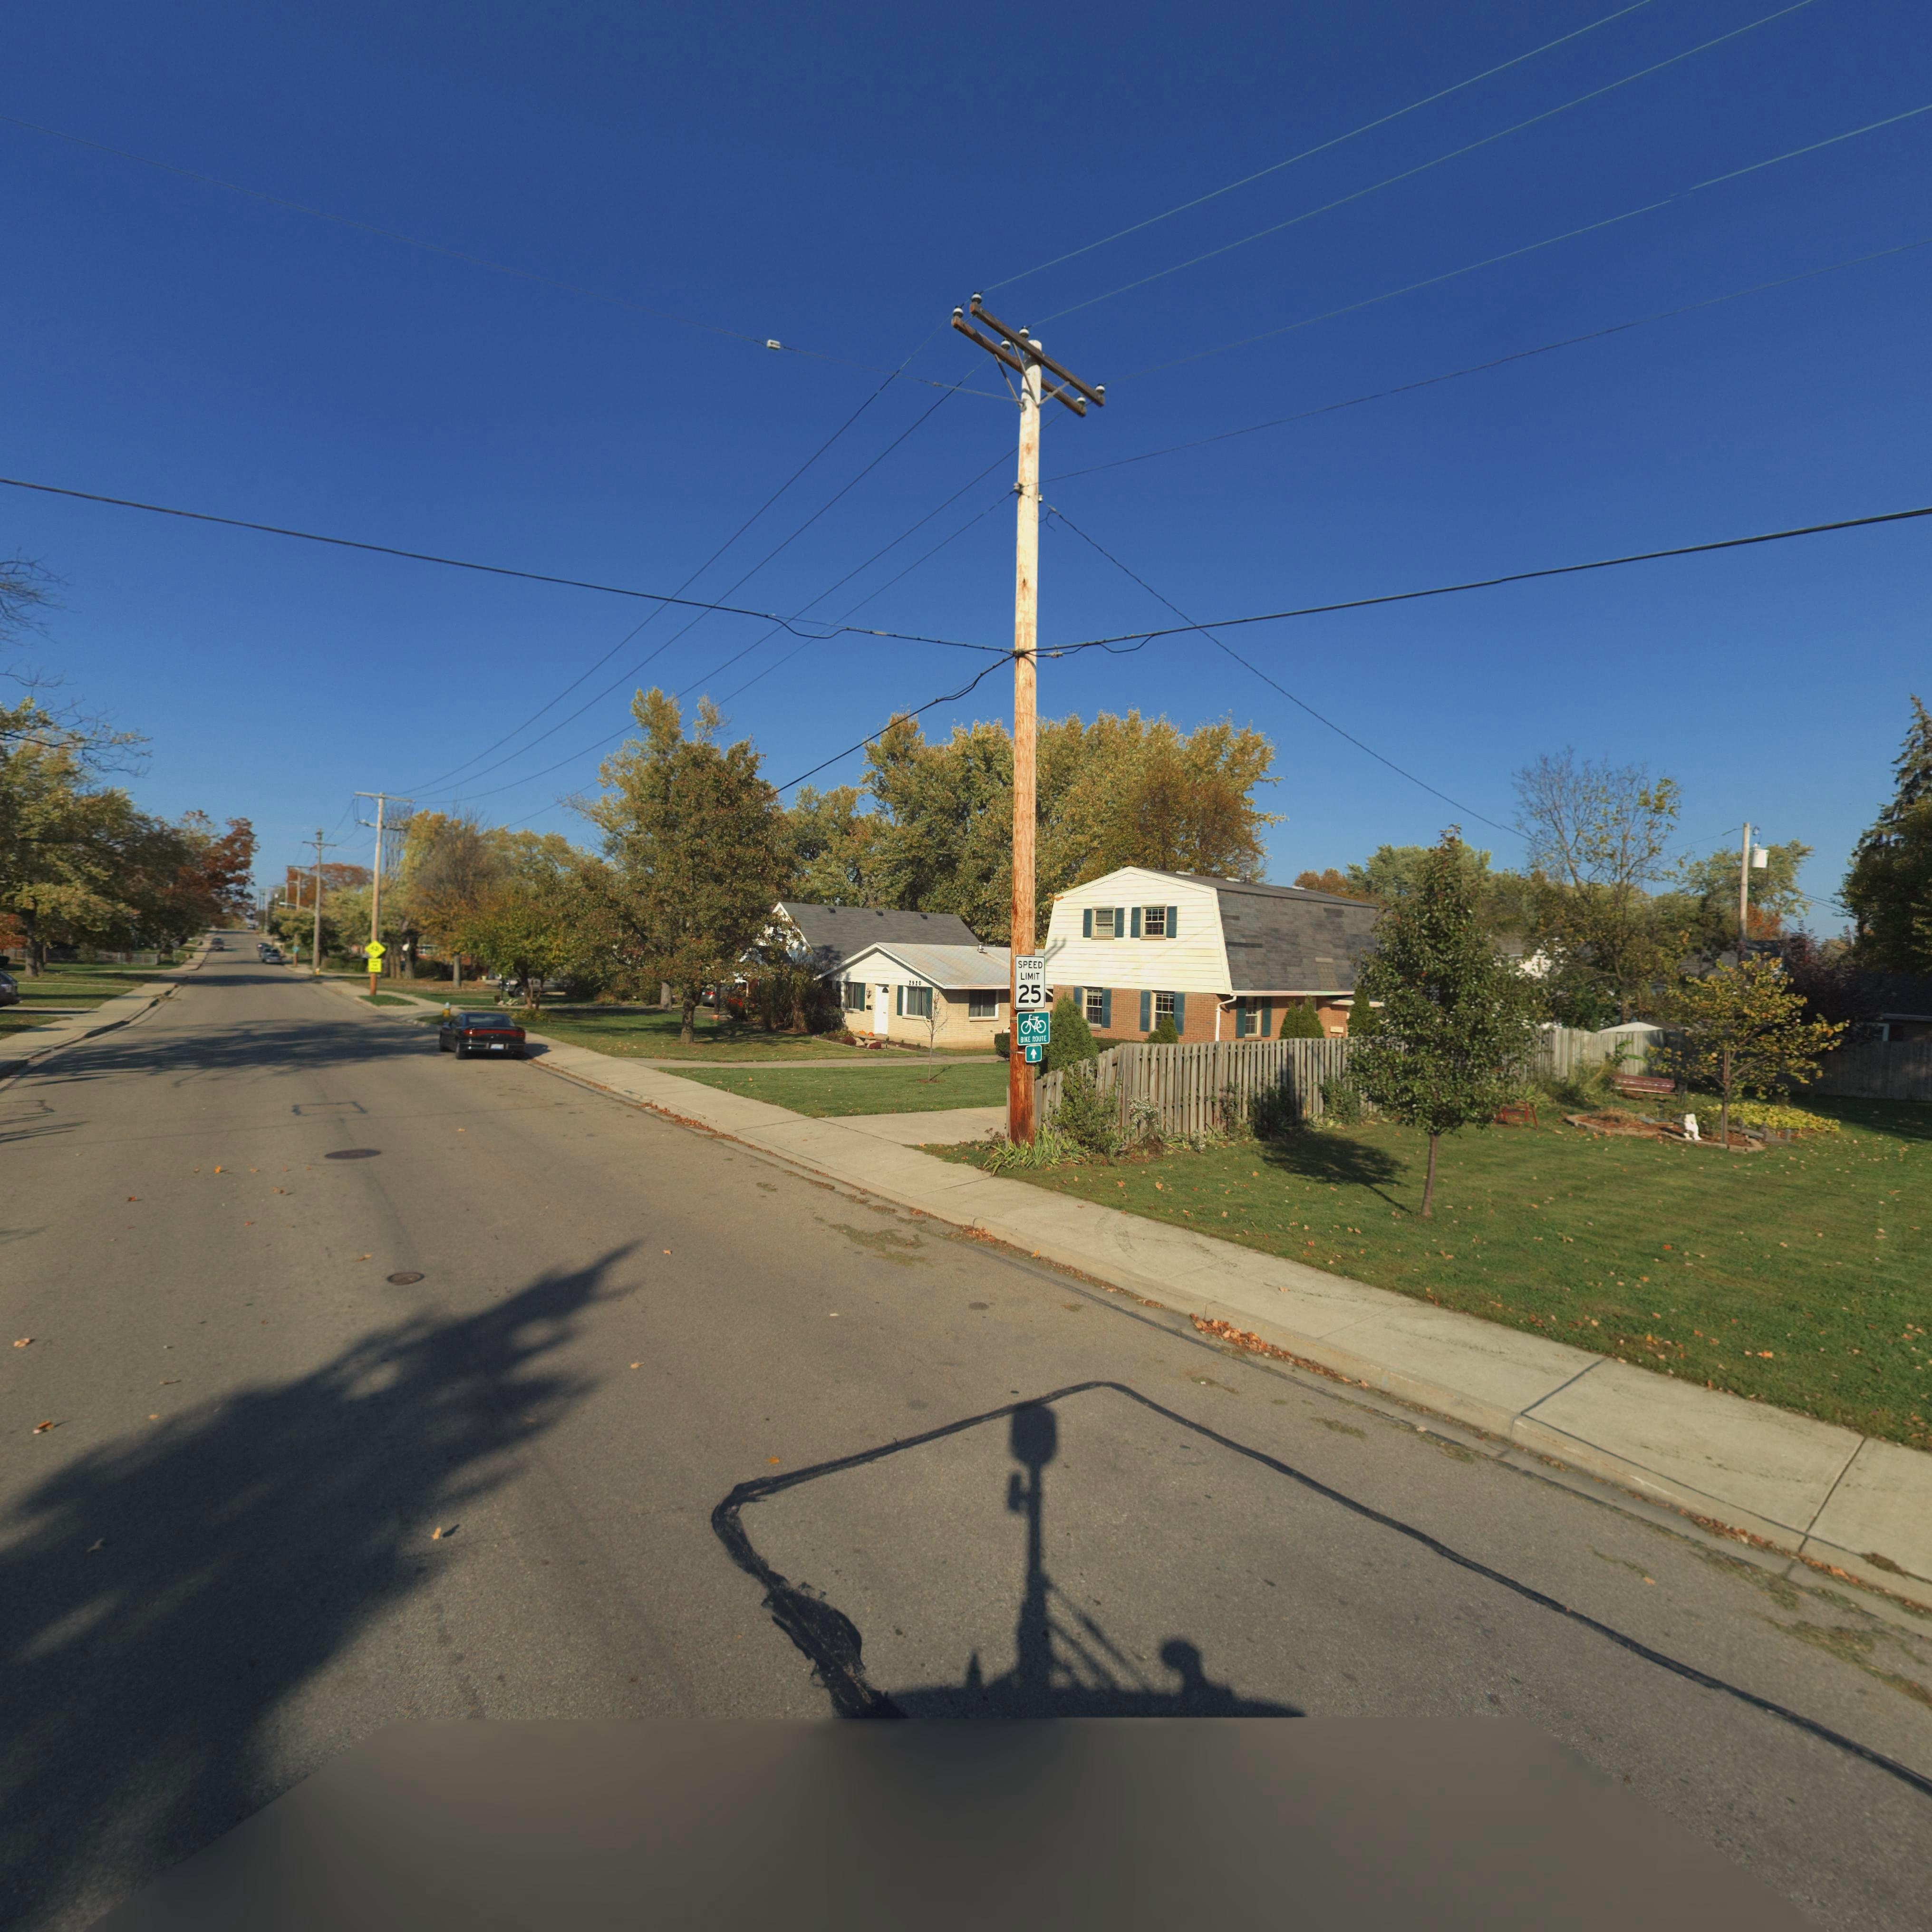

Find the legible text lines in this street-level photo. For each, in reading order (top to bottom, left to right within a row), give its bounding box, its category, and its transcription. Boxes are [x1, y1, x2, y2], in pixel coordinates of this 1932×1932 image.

[908, 979, 922, 986] StreetNumber: 2*20